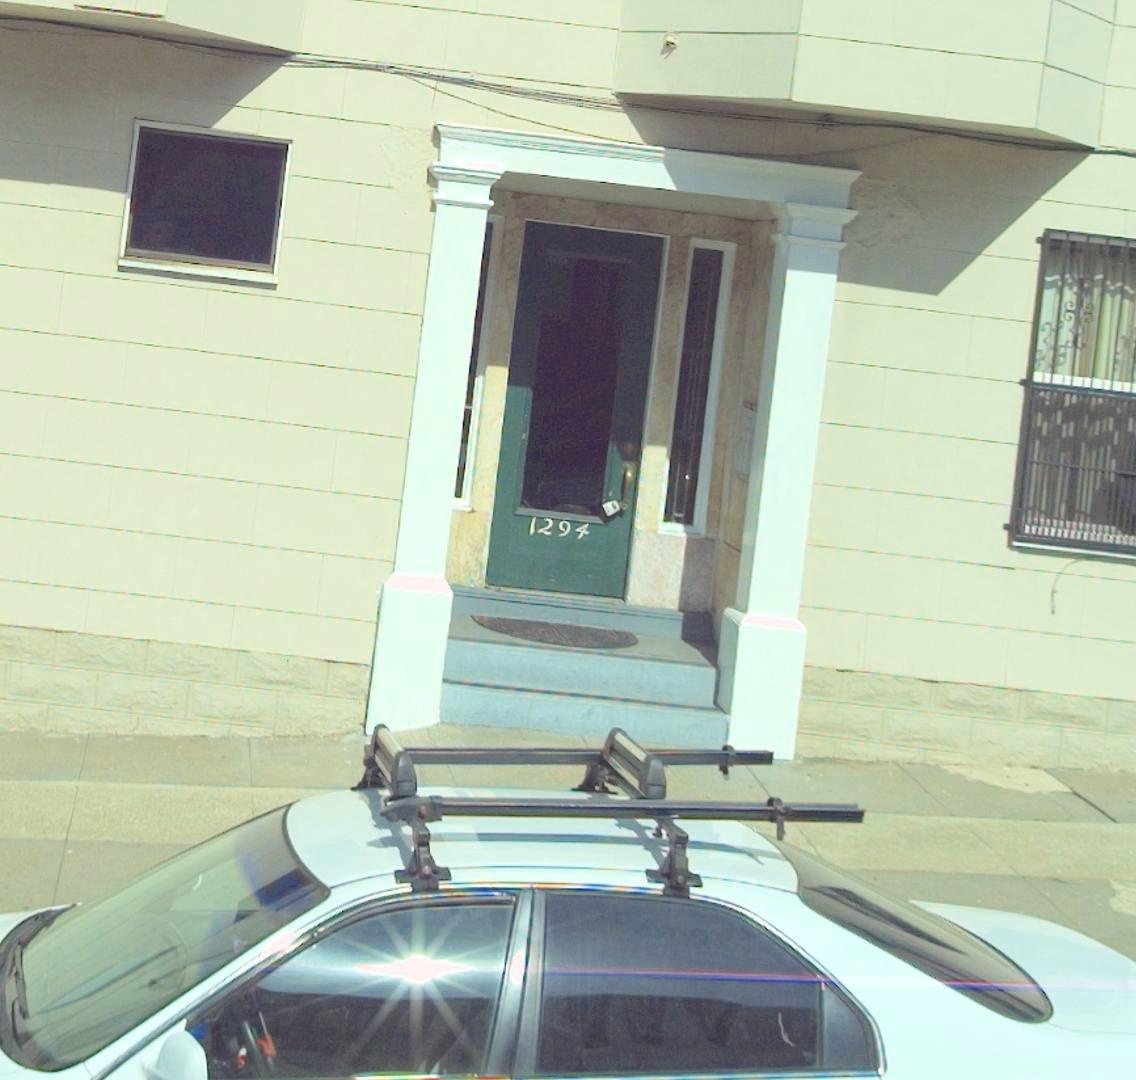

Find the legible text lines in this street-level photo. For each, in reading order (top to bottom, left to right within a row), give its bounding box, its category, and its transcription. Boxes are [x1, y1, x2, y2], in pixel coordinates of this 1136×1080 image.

[526, 514, 592, 541] StreetNumber: 1294